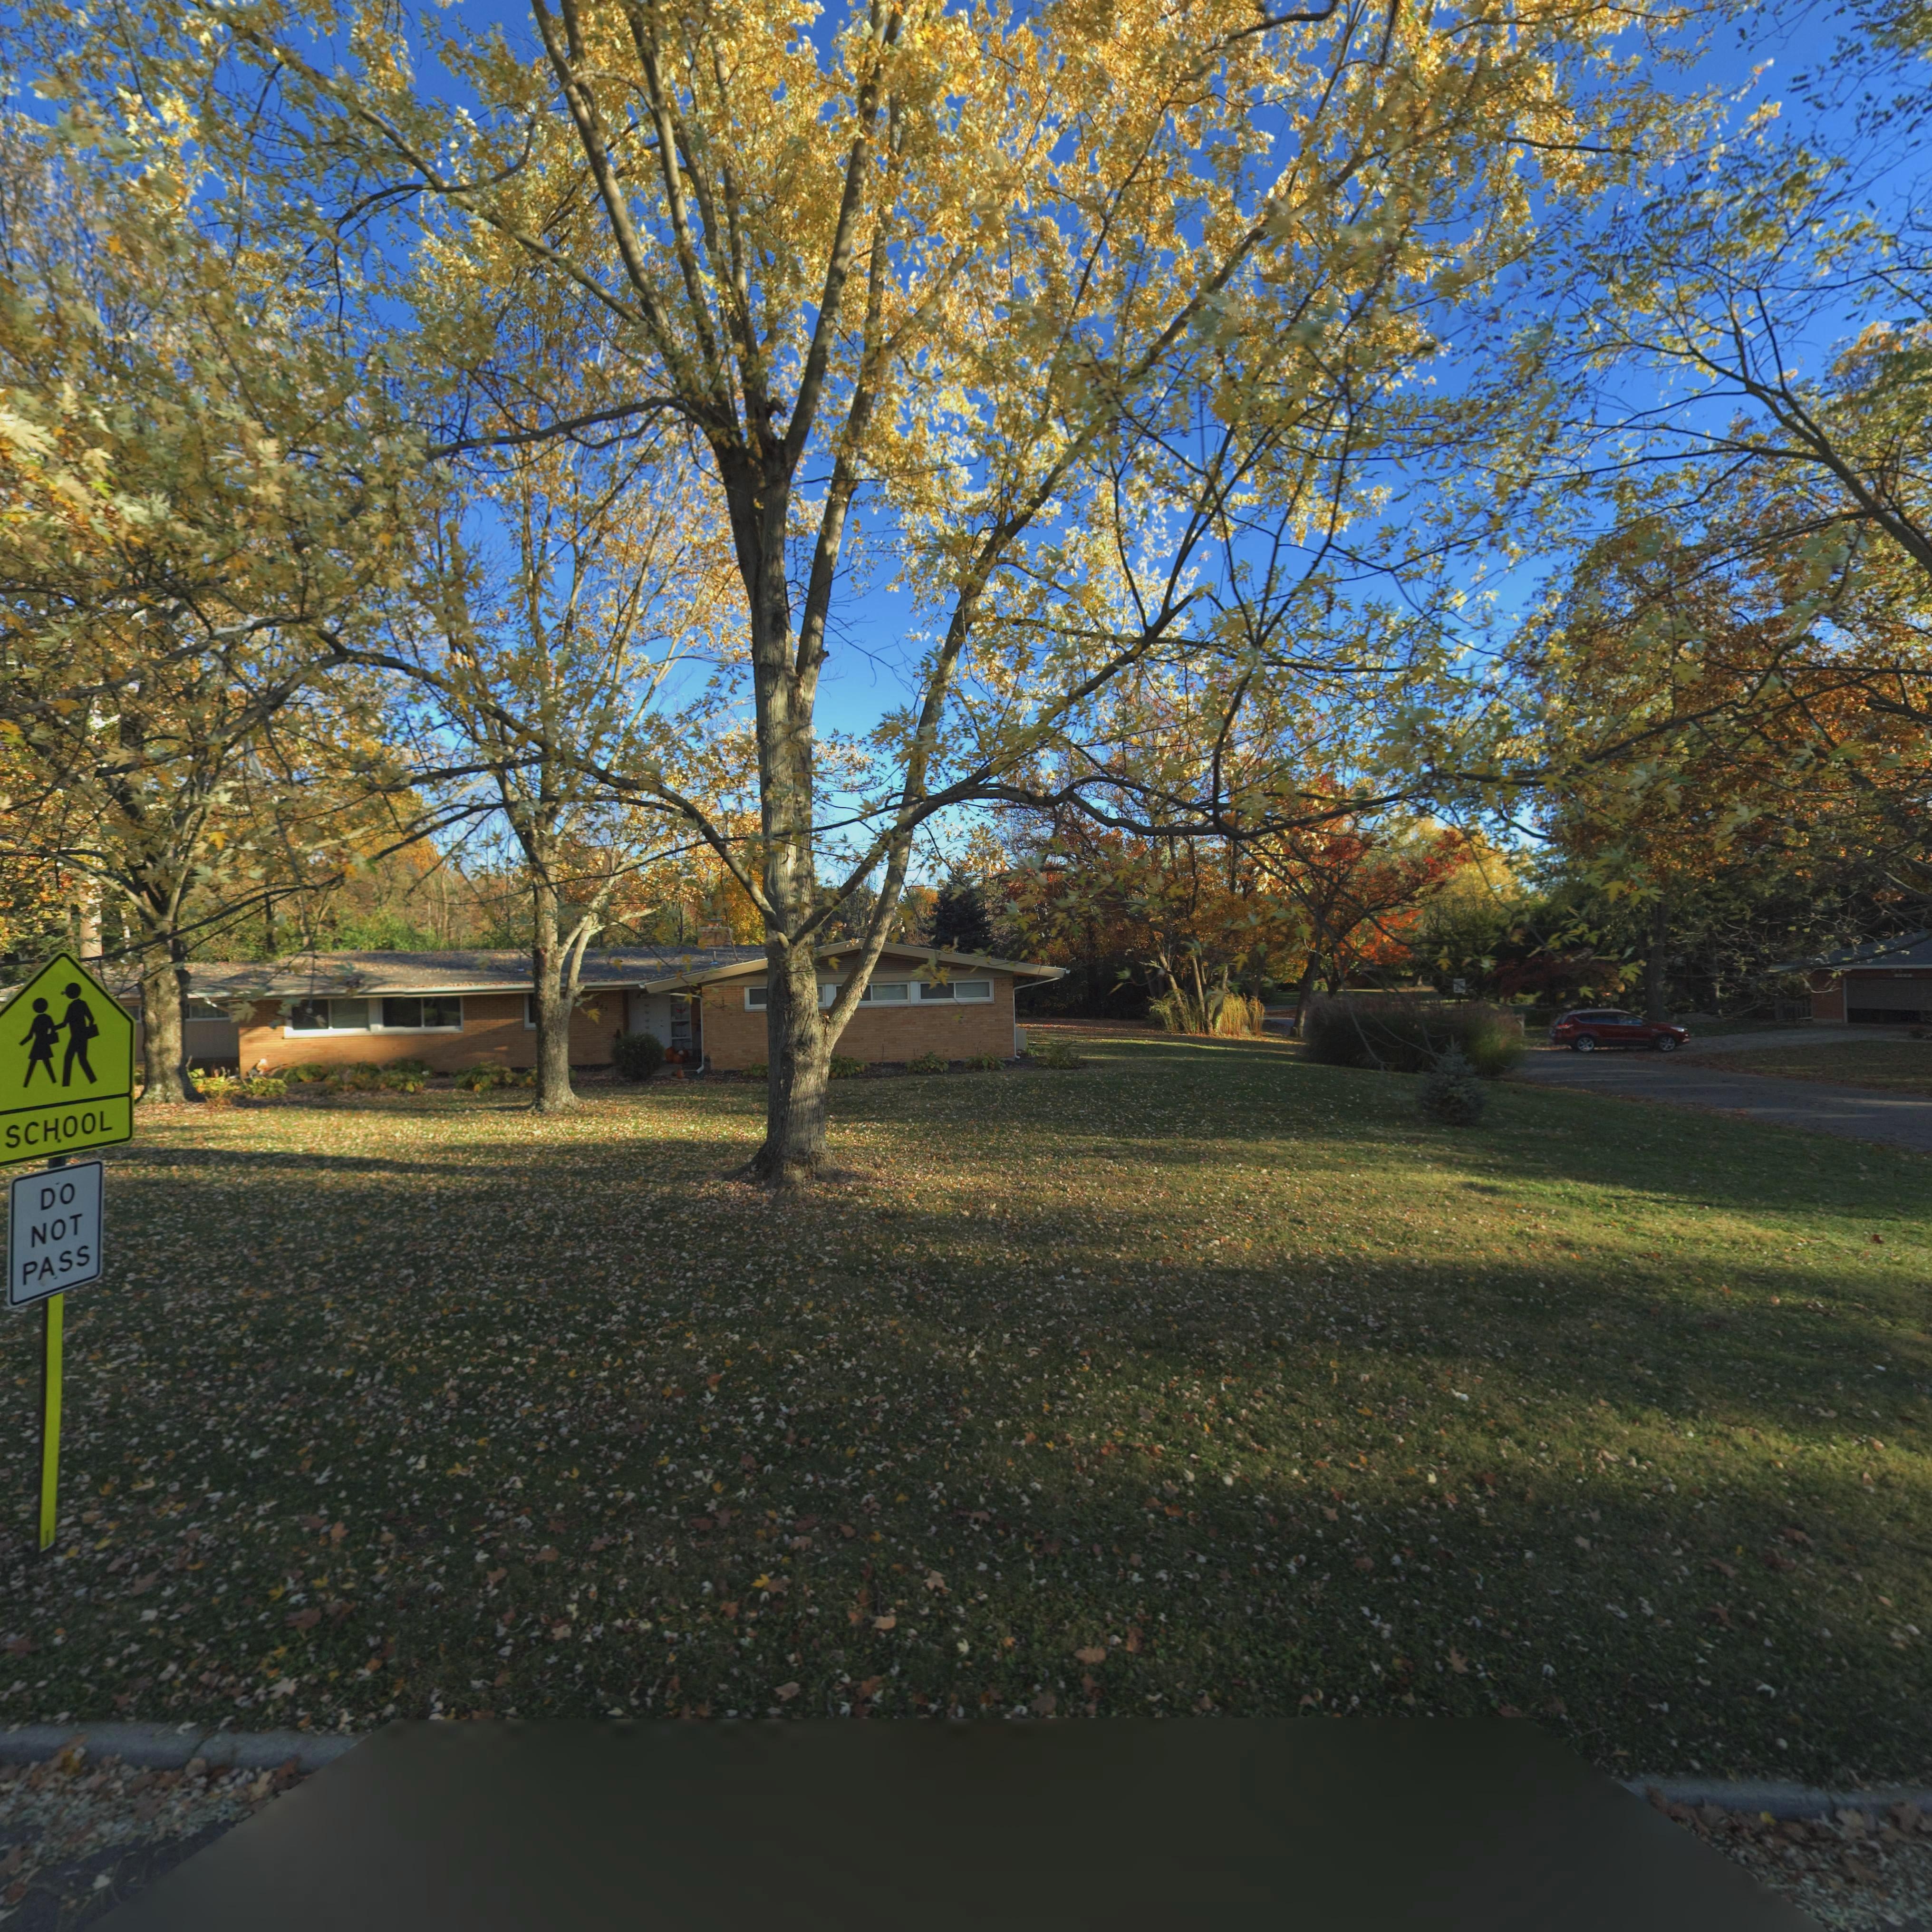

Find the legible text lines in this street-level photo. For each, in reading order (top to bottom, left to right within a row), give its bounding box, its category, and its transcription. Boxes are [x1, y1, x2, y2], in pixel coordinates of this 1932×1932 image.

[595, 1001, 609, 1013] StreetNumber: **5
[4, 1110, 113, 1150] None: SCHOOL
[39, 1182, 77, 1212] None: DO
[29, 1212, 83, 1249] None: NOT
[22, 1244, 90, 1287] None: PASS